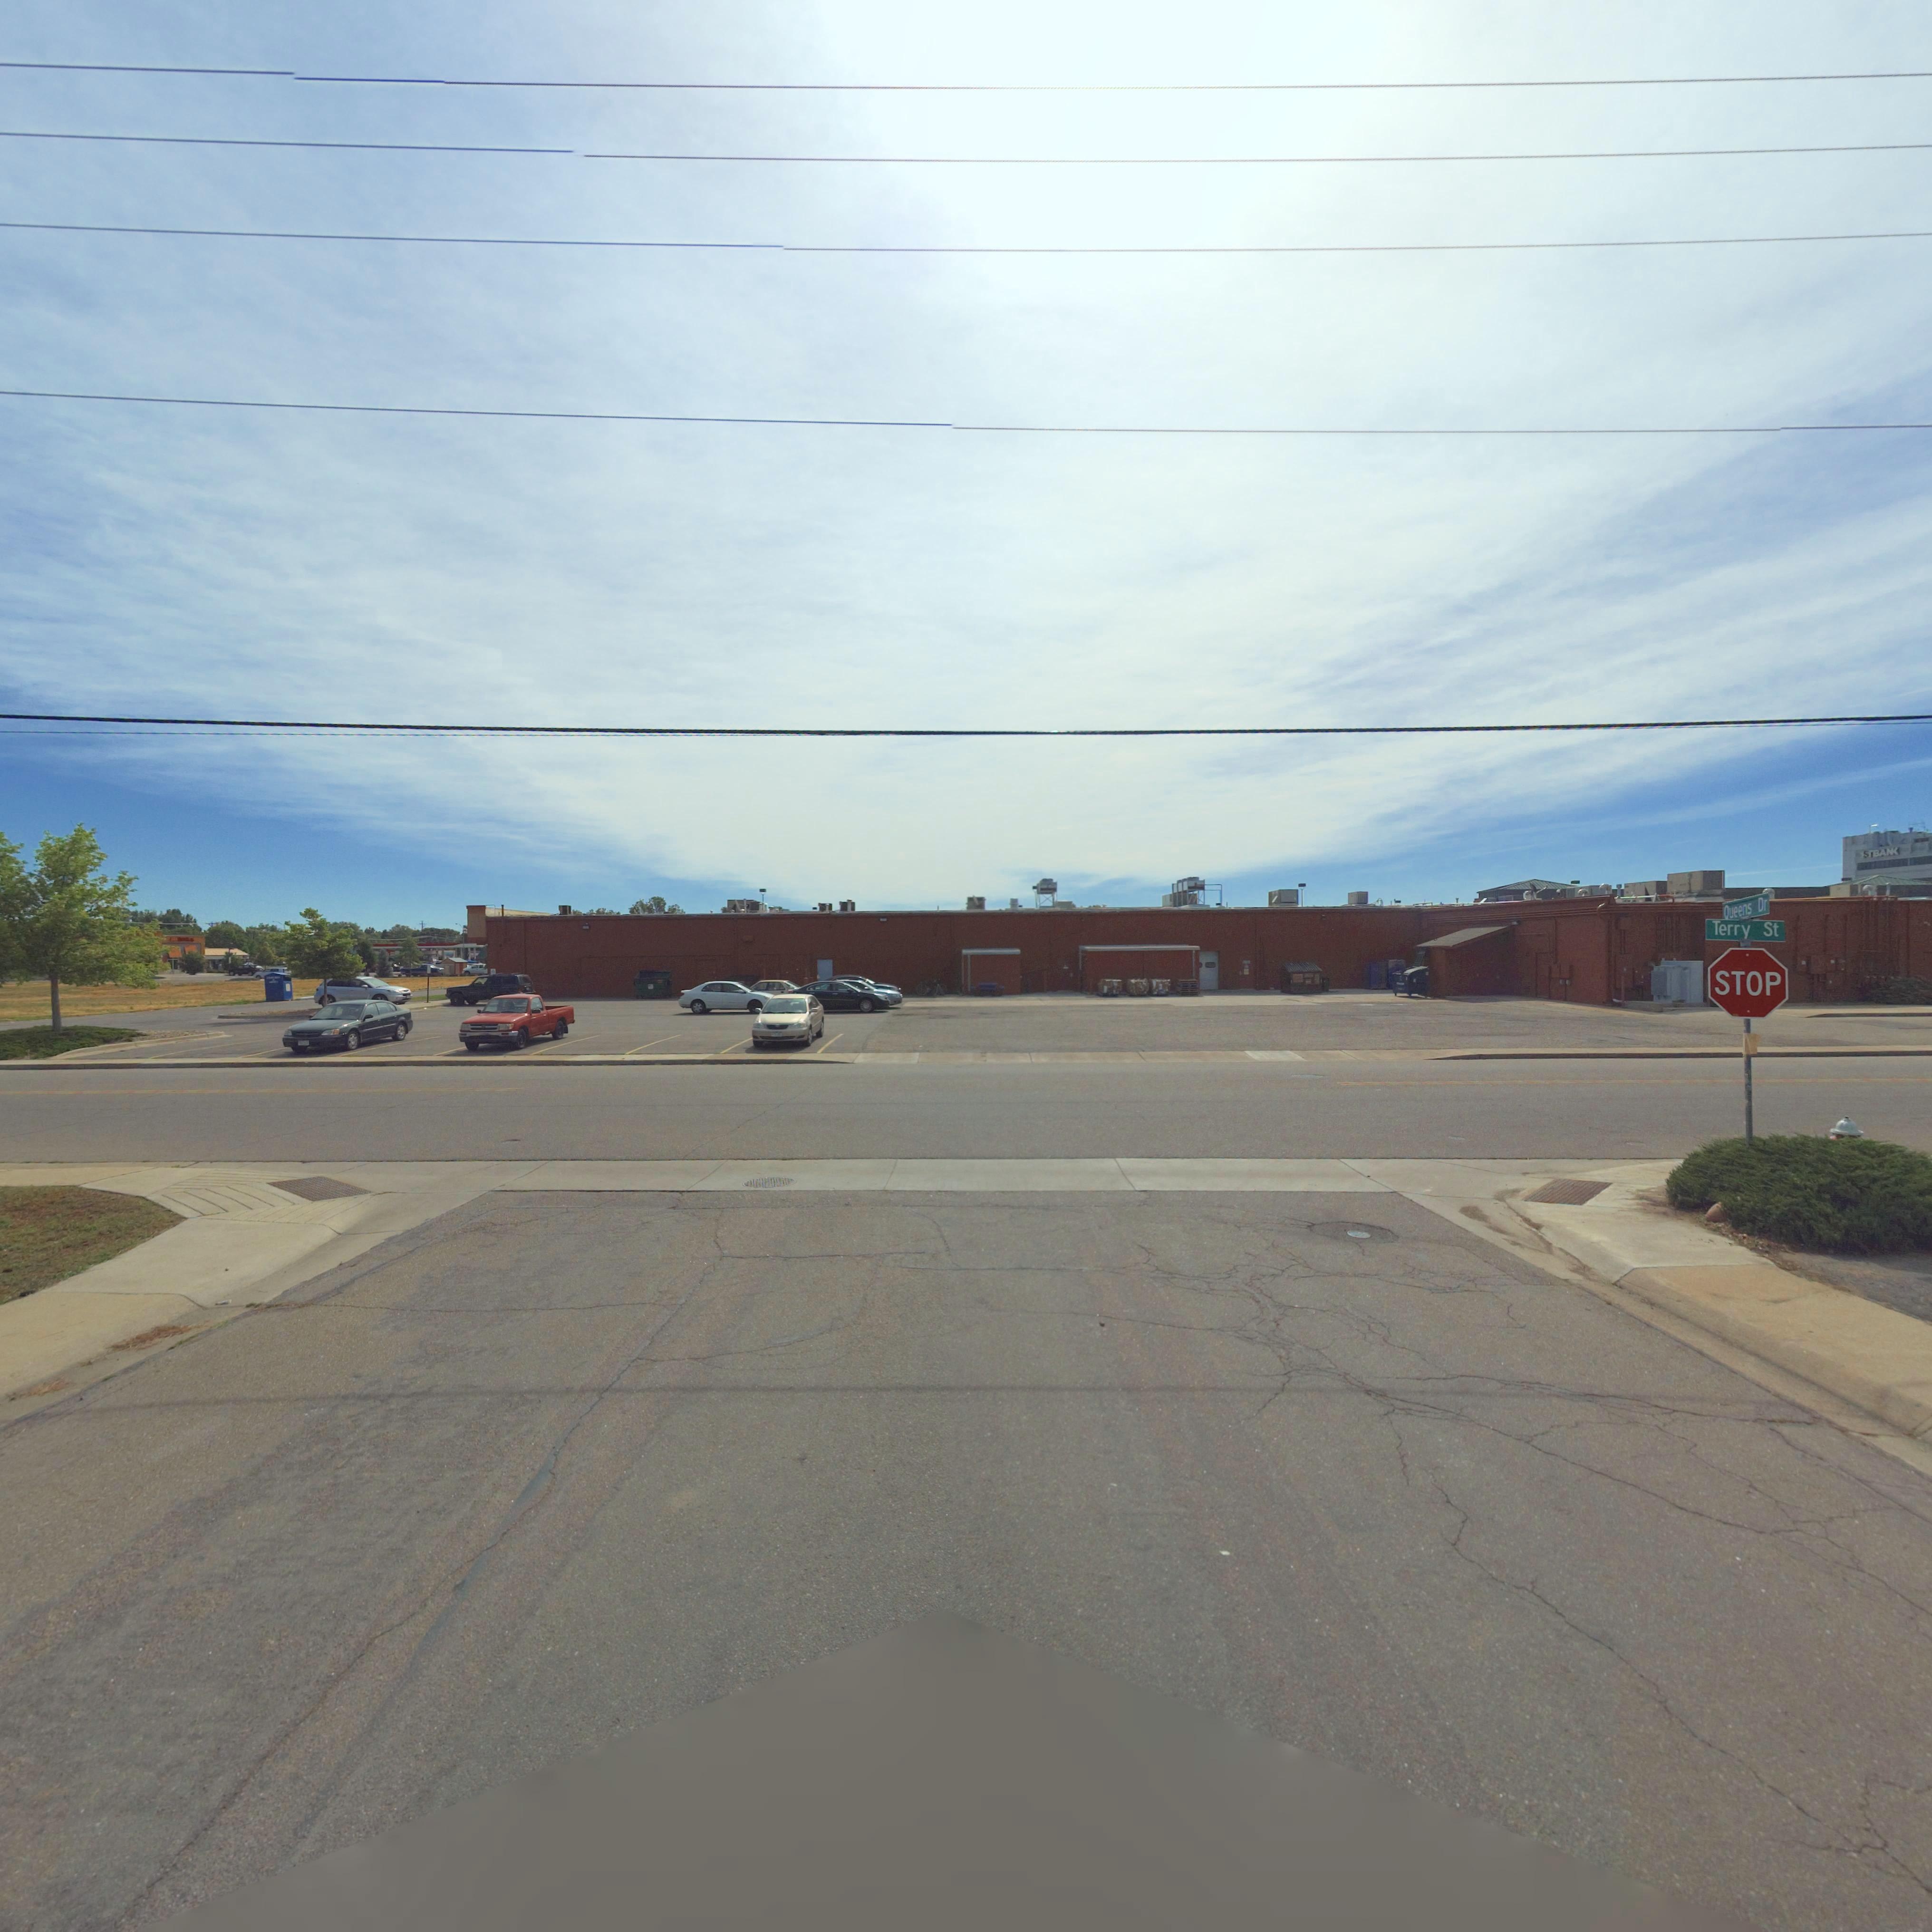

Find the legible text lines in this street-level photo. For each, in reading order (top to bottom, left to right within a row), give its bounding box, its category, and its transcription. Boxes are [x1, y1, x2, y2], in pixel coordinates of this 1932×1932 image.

[1860, 847, 1899, 859] BusinessName: 1STBAN*
[1723, 896, 1768, 920] StreetName: Queens Dr
[1711, 920, 1779, 940] StreetName: Terry St